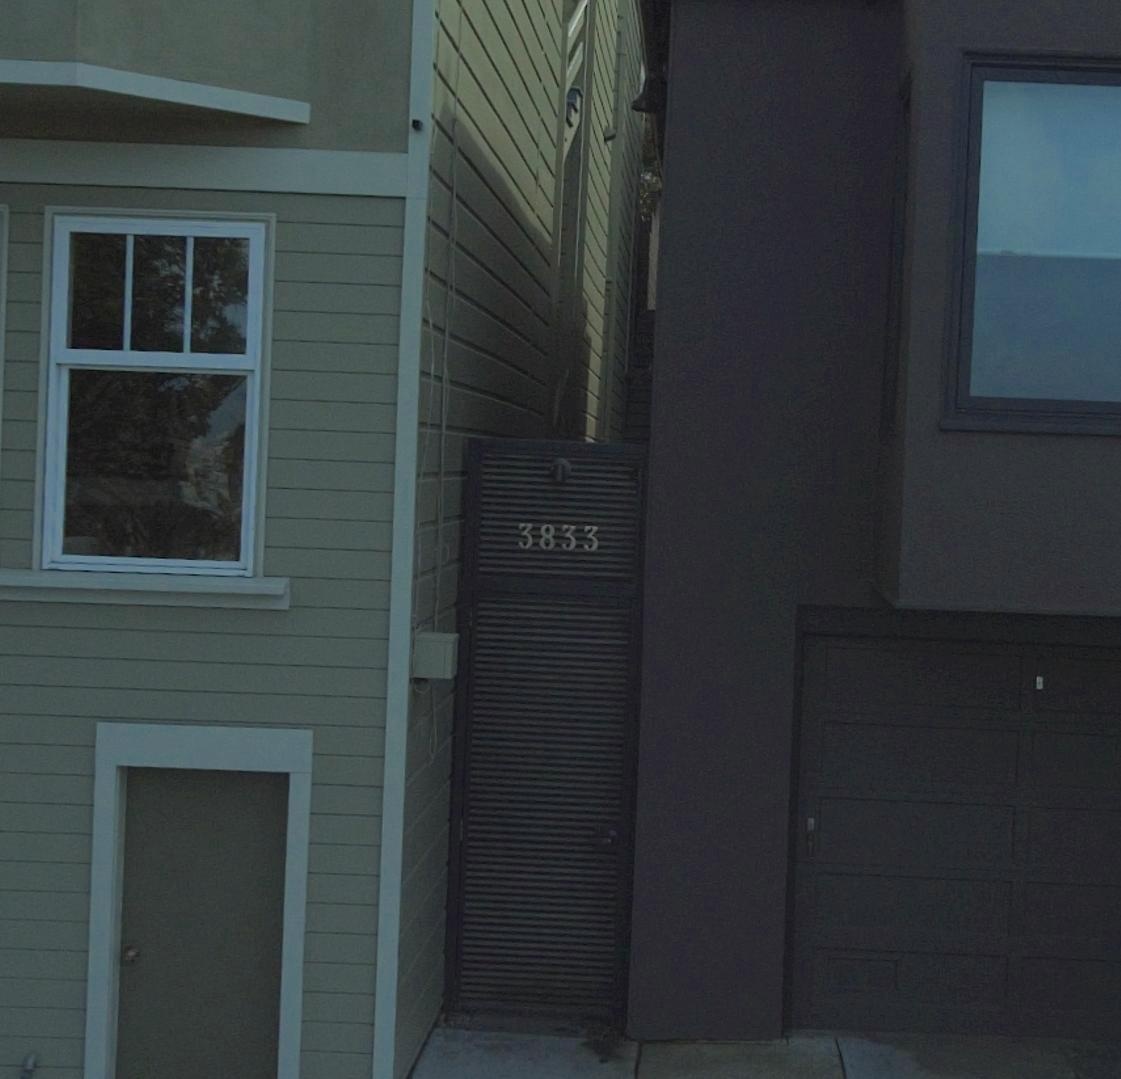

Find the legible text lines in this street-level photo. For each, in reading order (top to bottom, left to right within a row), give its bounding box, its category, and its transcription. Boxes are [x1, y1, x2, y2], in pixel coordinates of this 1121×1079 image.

[517, 522, 600, 553] StreetNumber: 3833